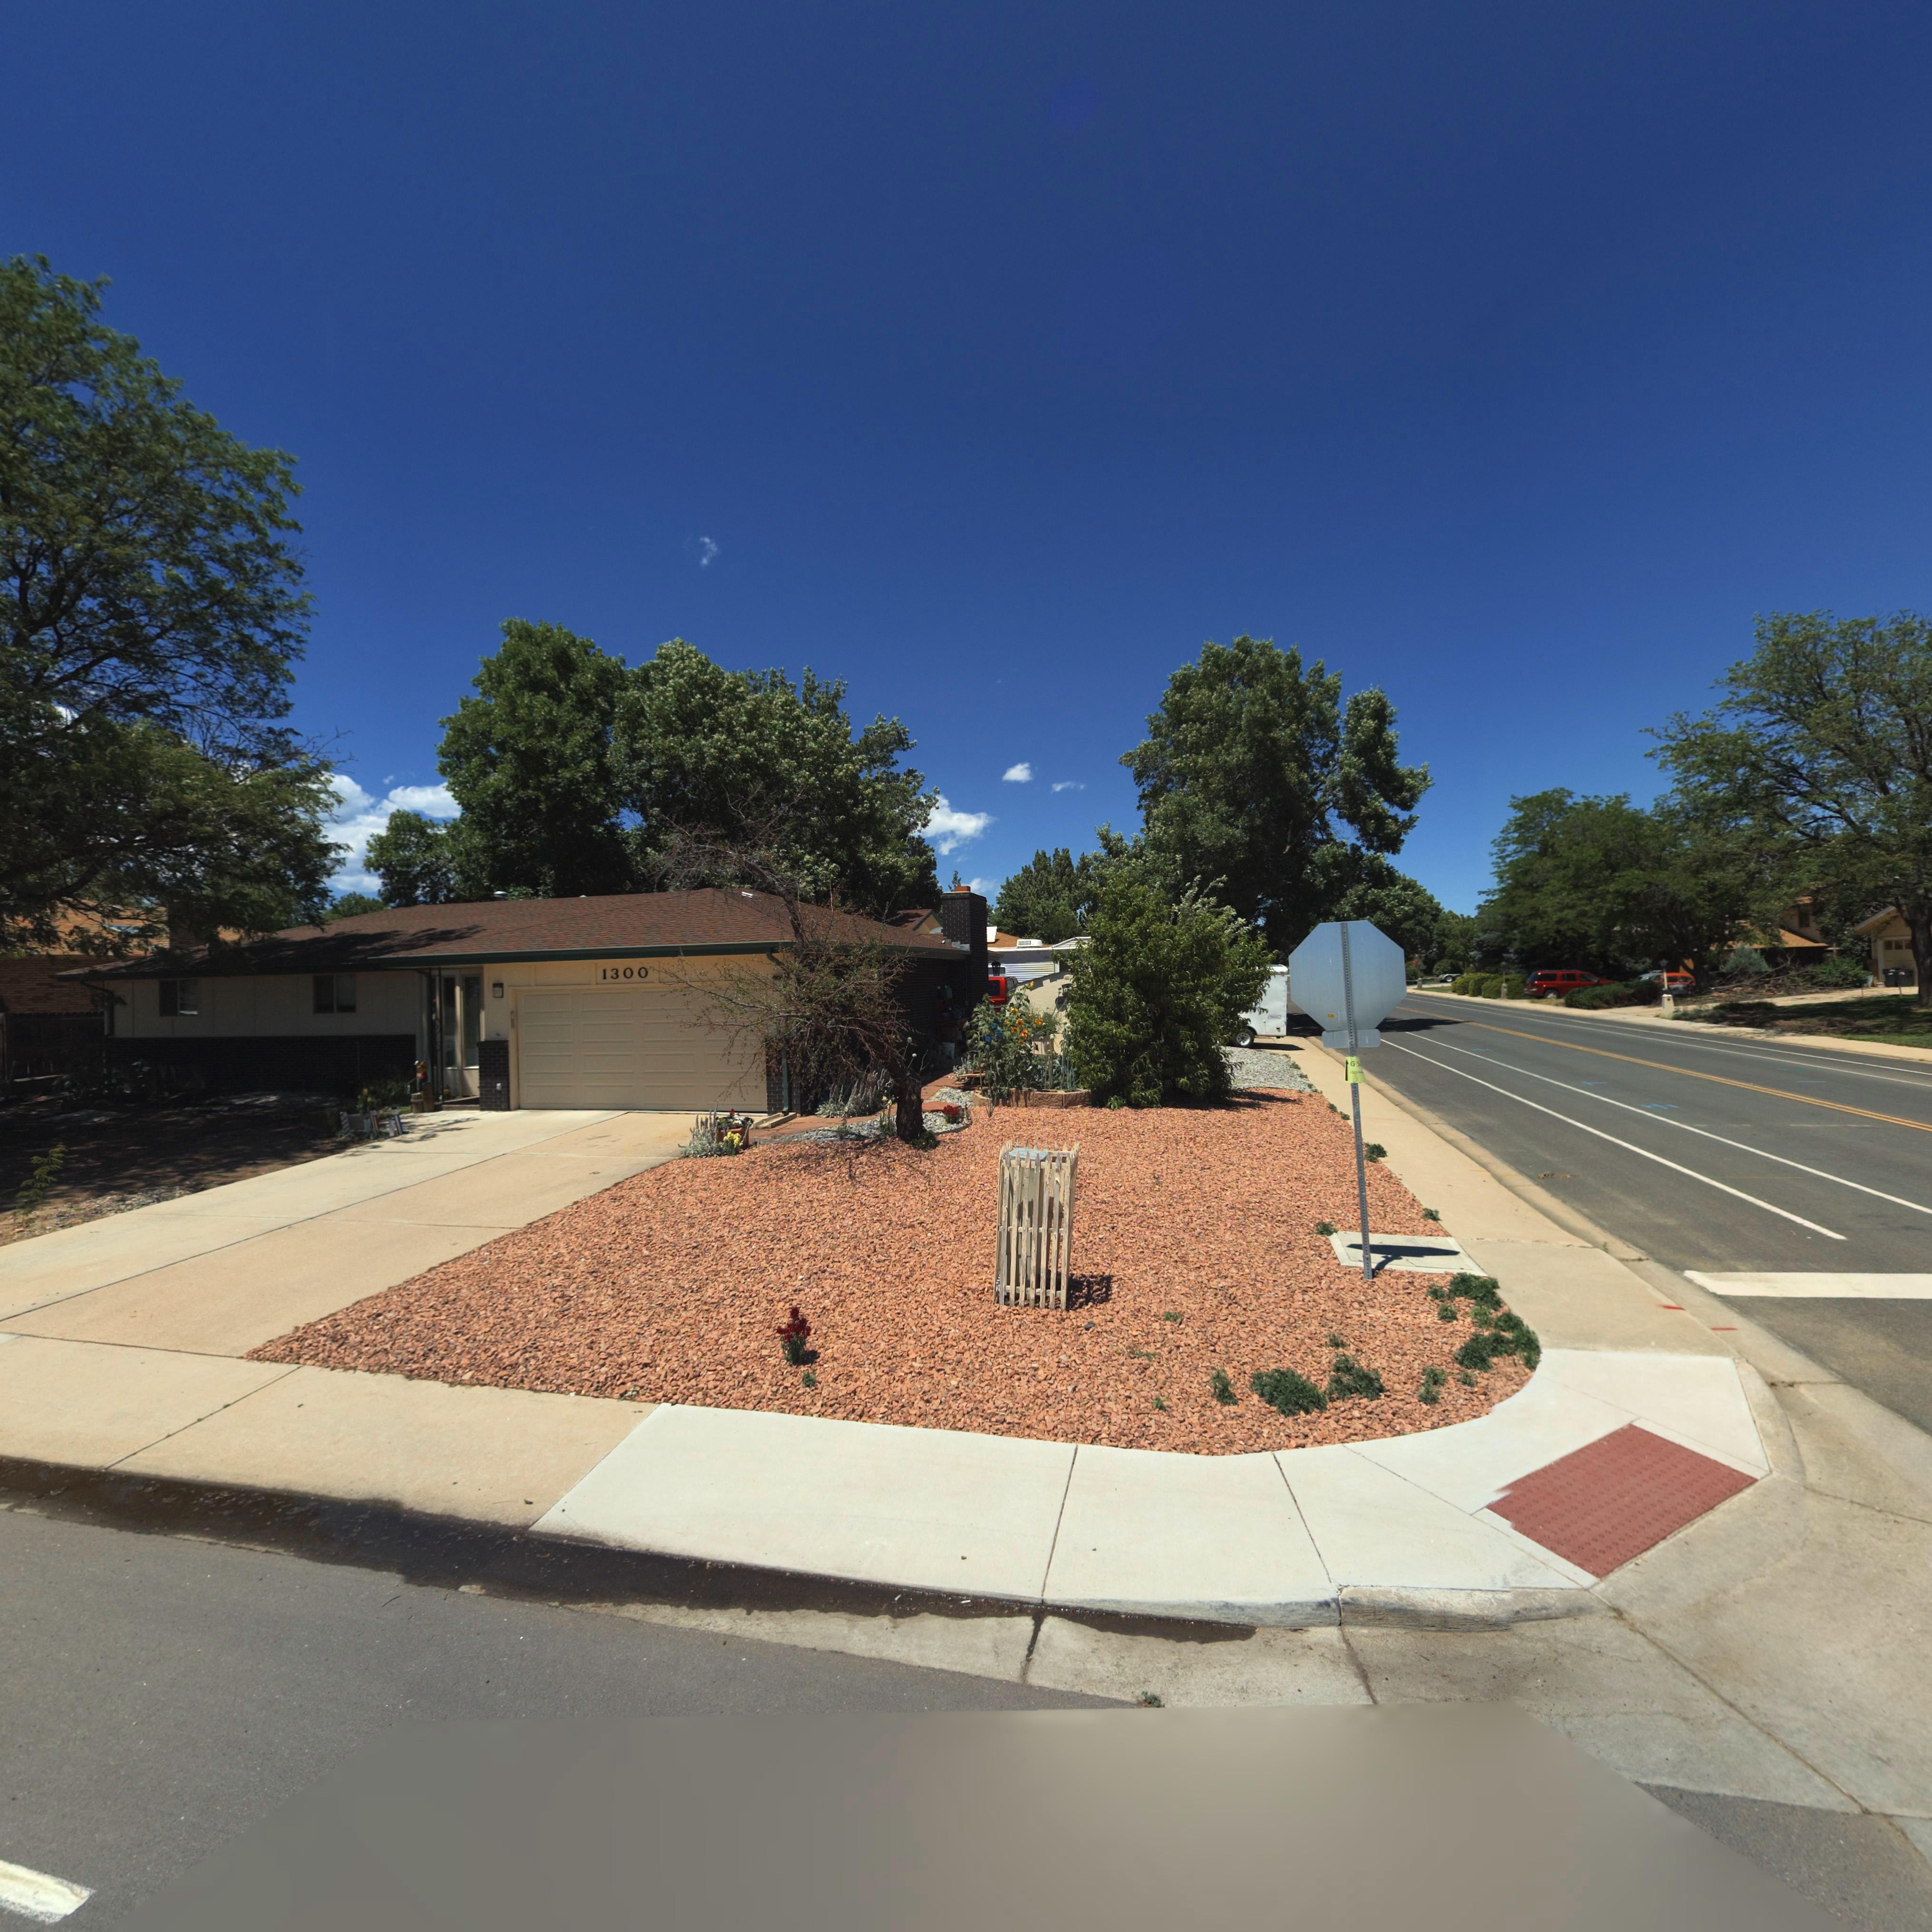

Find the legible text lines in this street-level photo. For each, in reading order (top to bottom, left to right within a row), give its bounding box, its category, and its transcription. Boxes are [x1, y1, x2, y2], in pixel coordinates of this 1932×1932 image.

[601, 966, 648, 980] StreetNumber: 1300